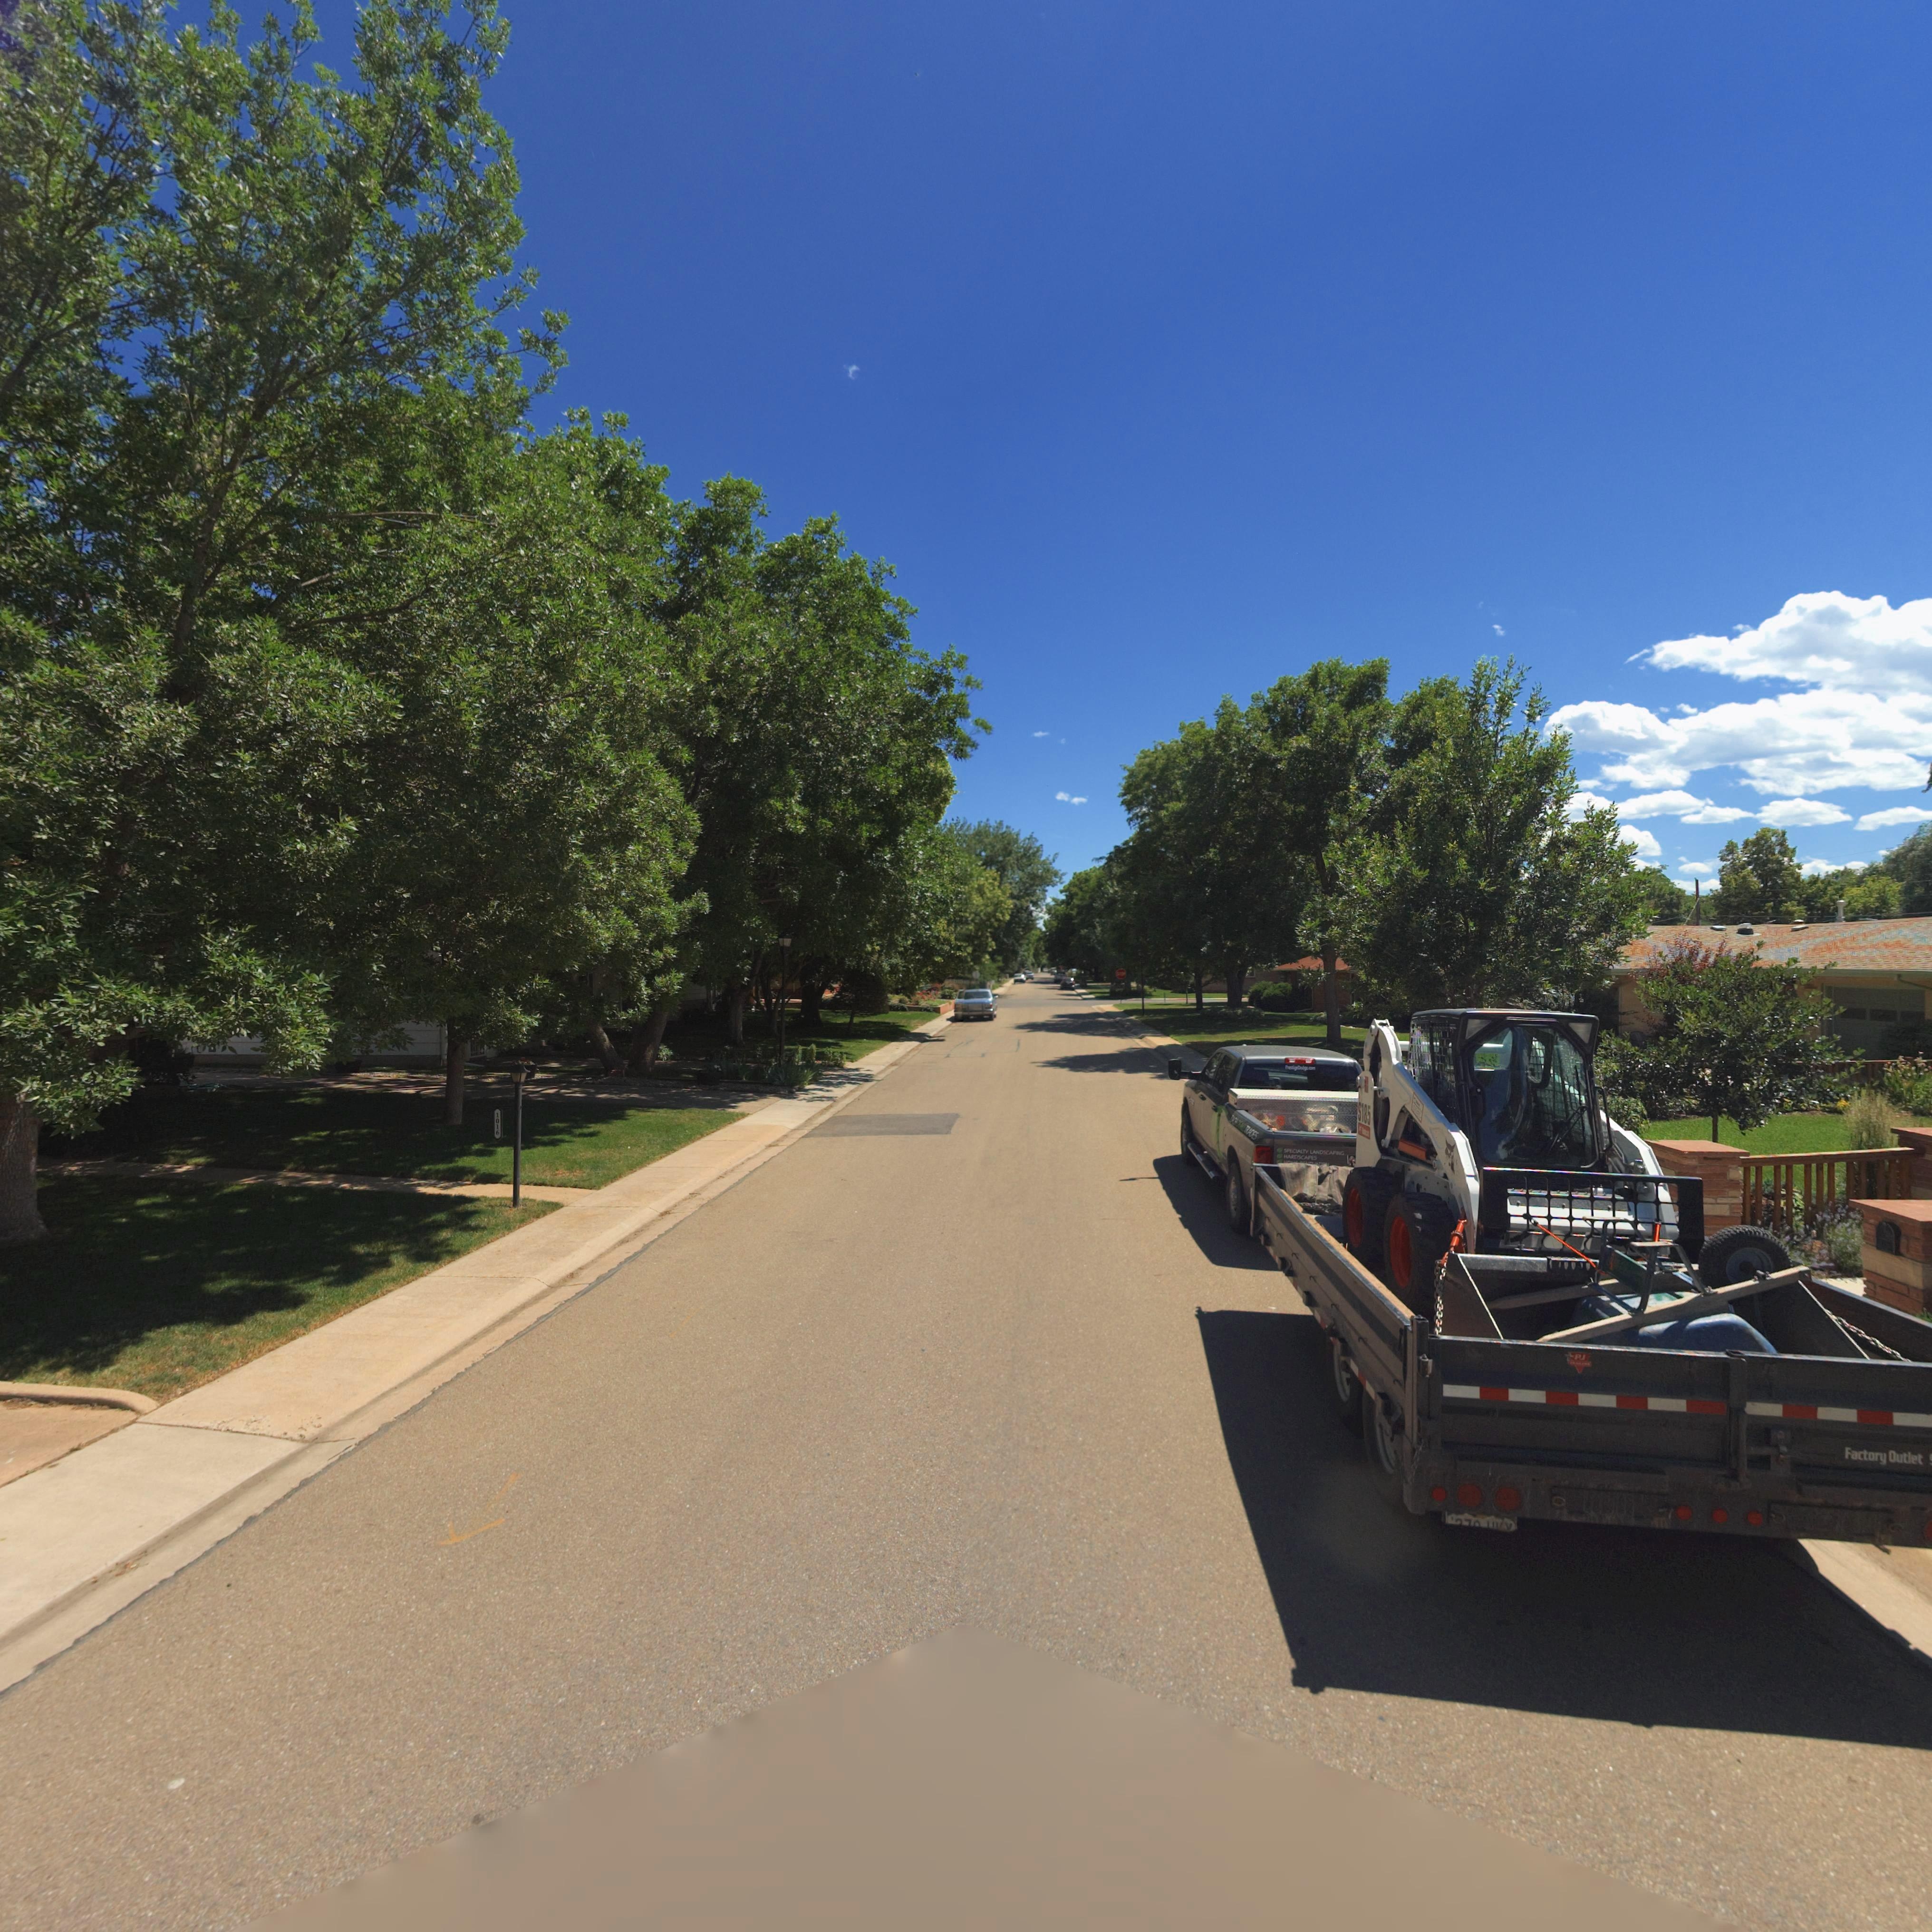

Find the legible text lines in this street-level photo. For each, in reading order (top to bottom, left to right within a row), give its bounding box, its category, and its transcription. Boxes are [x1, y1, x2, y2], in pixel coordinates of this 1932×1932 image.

[495, 1112, 499, 1135] StreetNumber: 1016